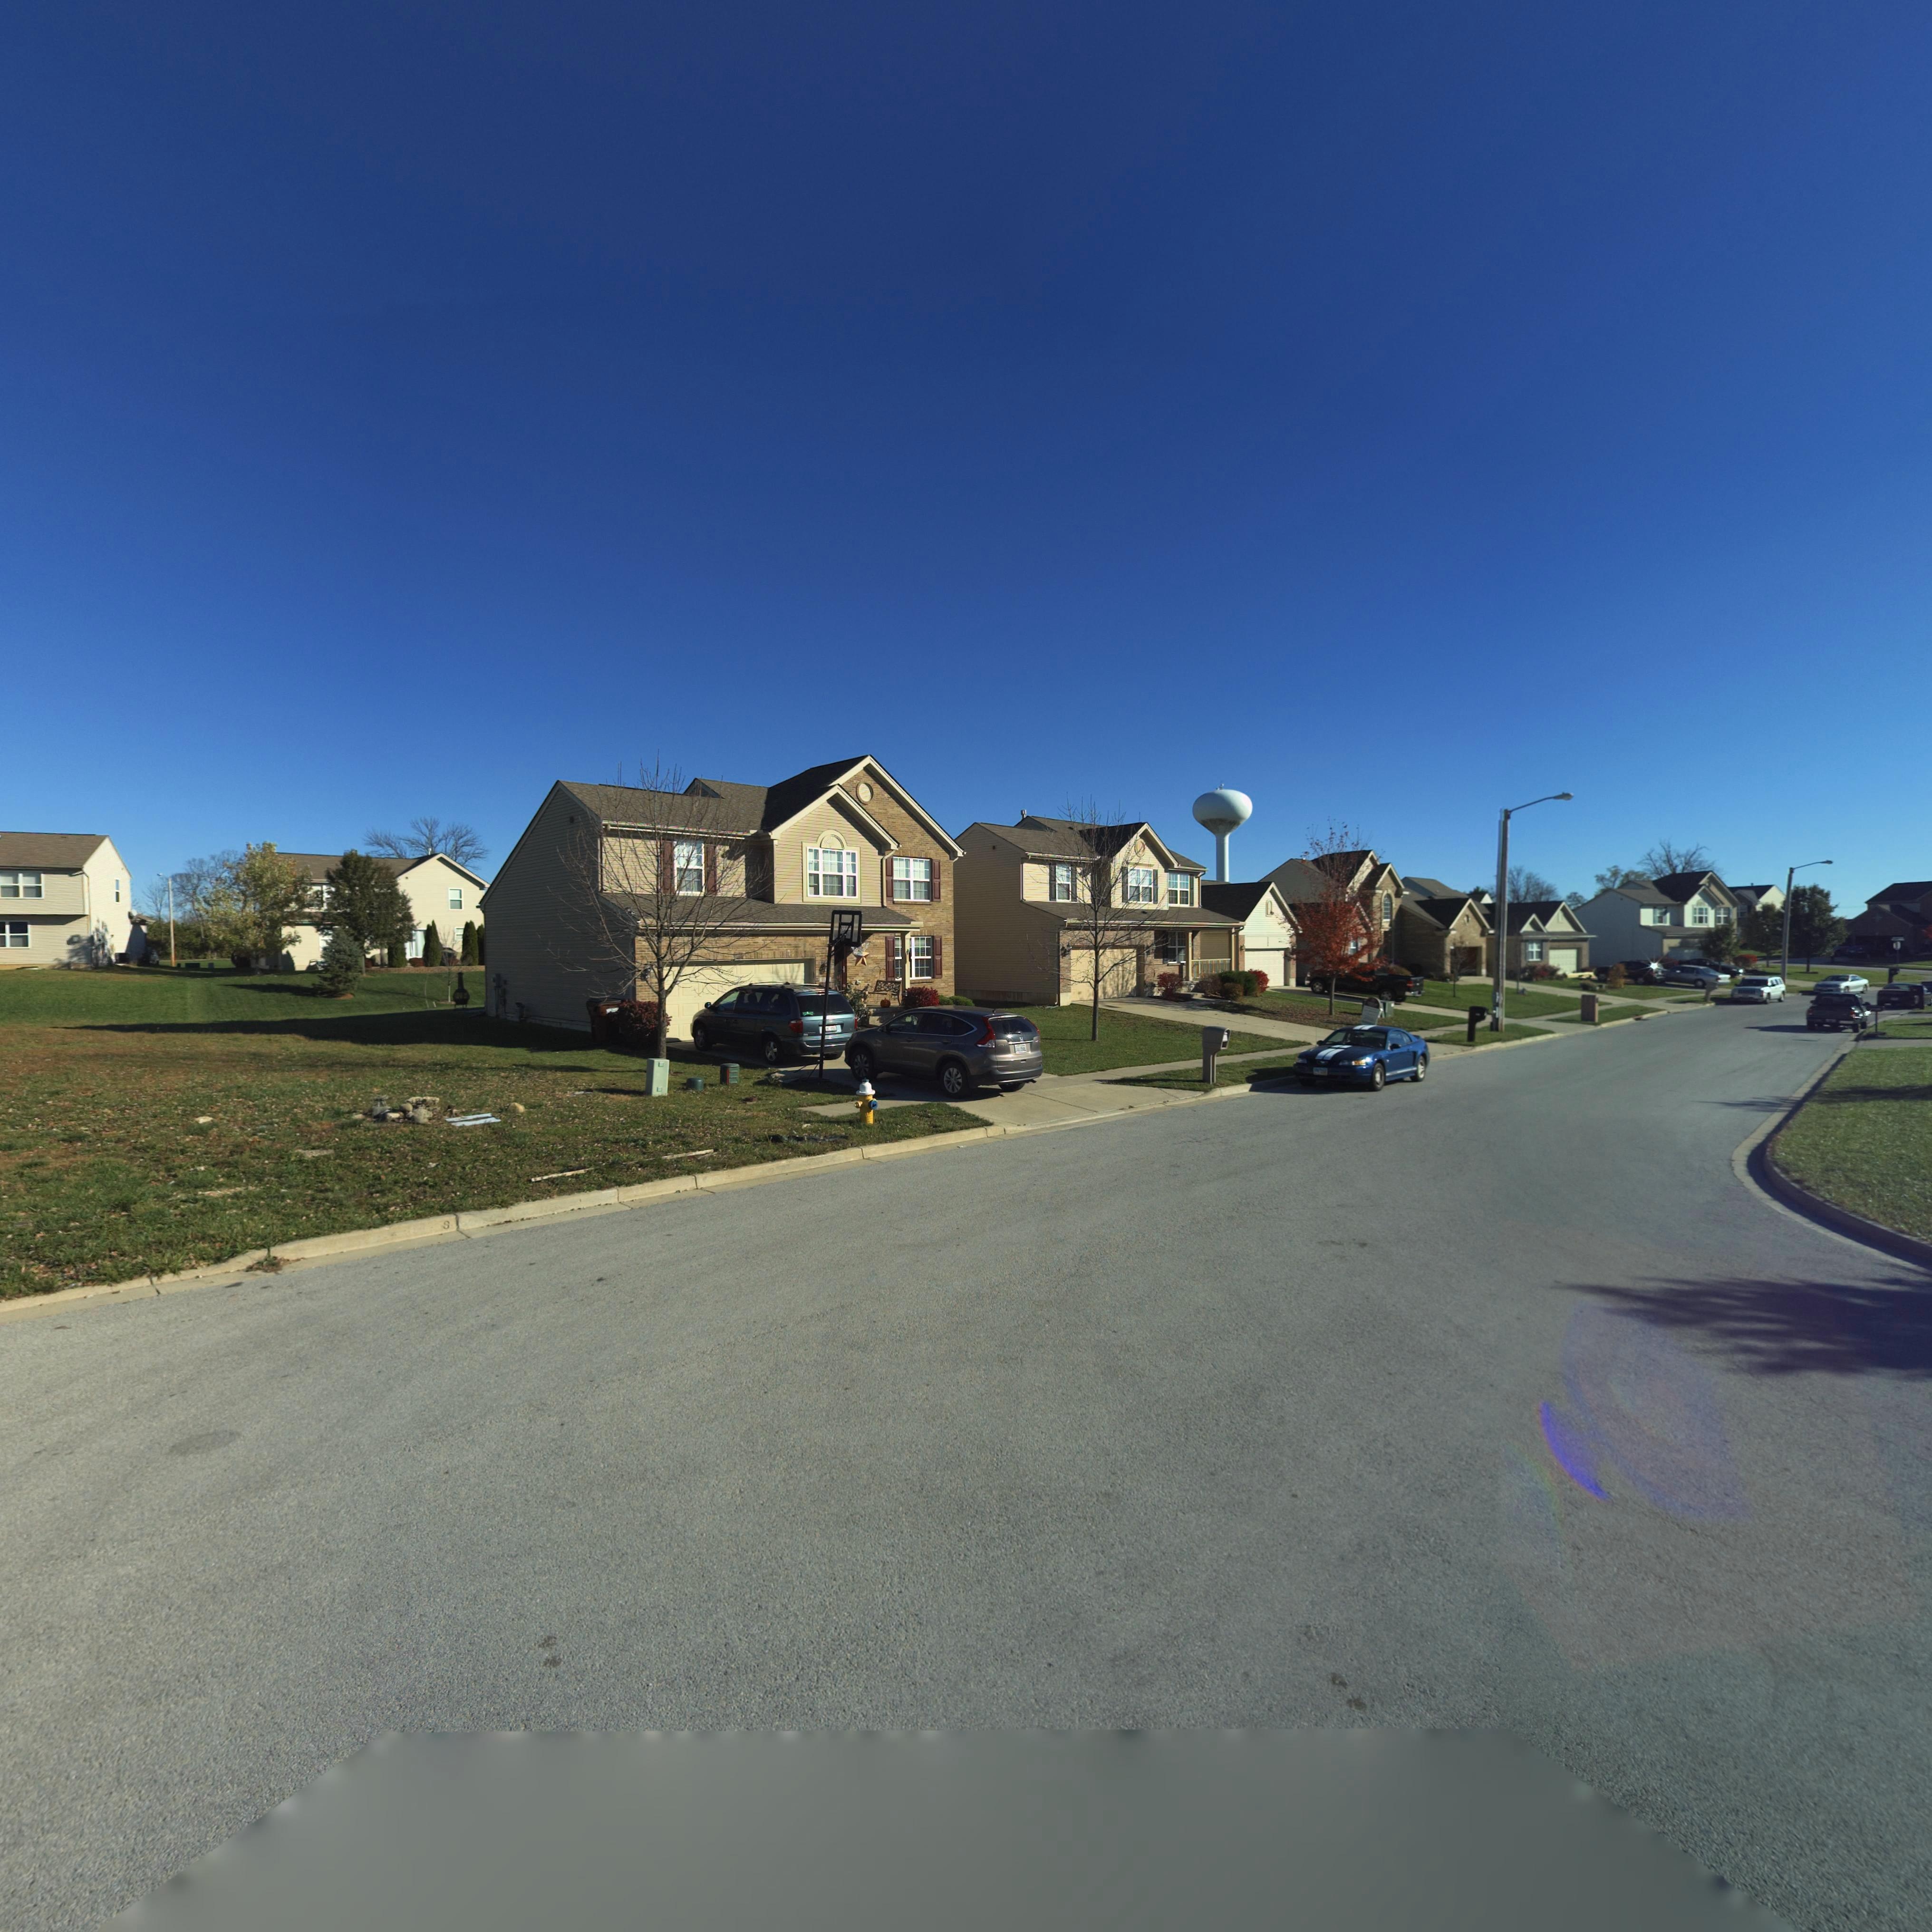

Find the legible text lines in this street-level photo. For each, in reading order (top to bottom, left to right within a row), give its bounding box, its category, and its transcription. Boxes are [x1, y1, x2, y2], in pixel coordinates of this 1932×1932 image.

[821, 977, 825, 982] StreetNumber: 11